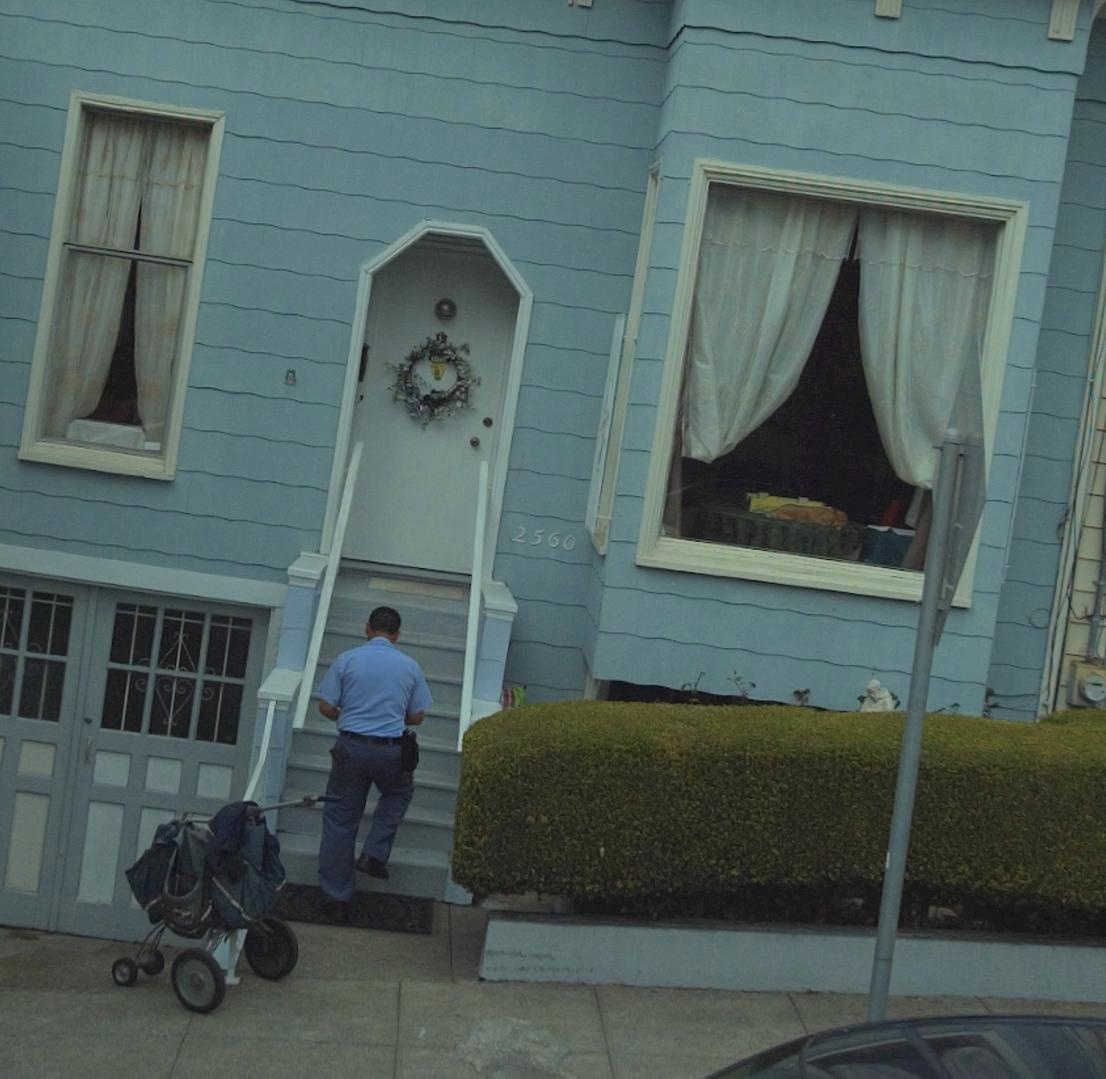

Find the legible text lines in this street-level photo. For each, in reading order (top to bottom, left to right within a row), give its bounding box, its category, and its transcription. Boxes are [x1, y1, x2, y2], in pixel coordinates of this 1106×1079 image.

[509, 524, 580, 553] StreetNumber: 2560